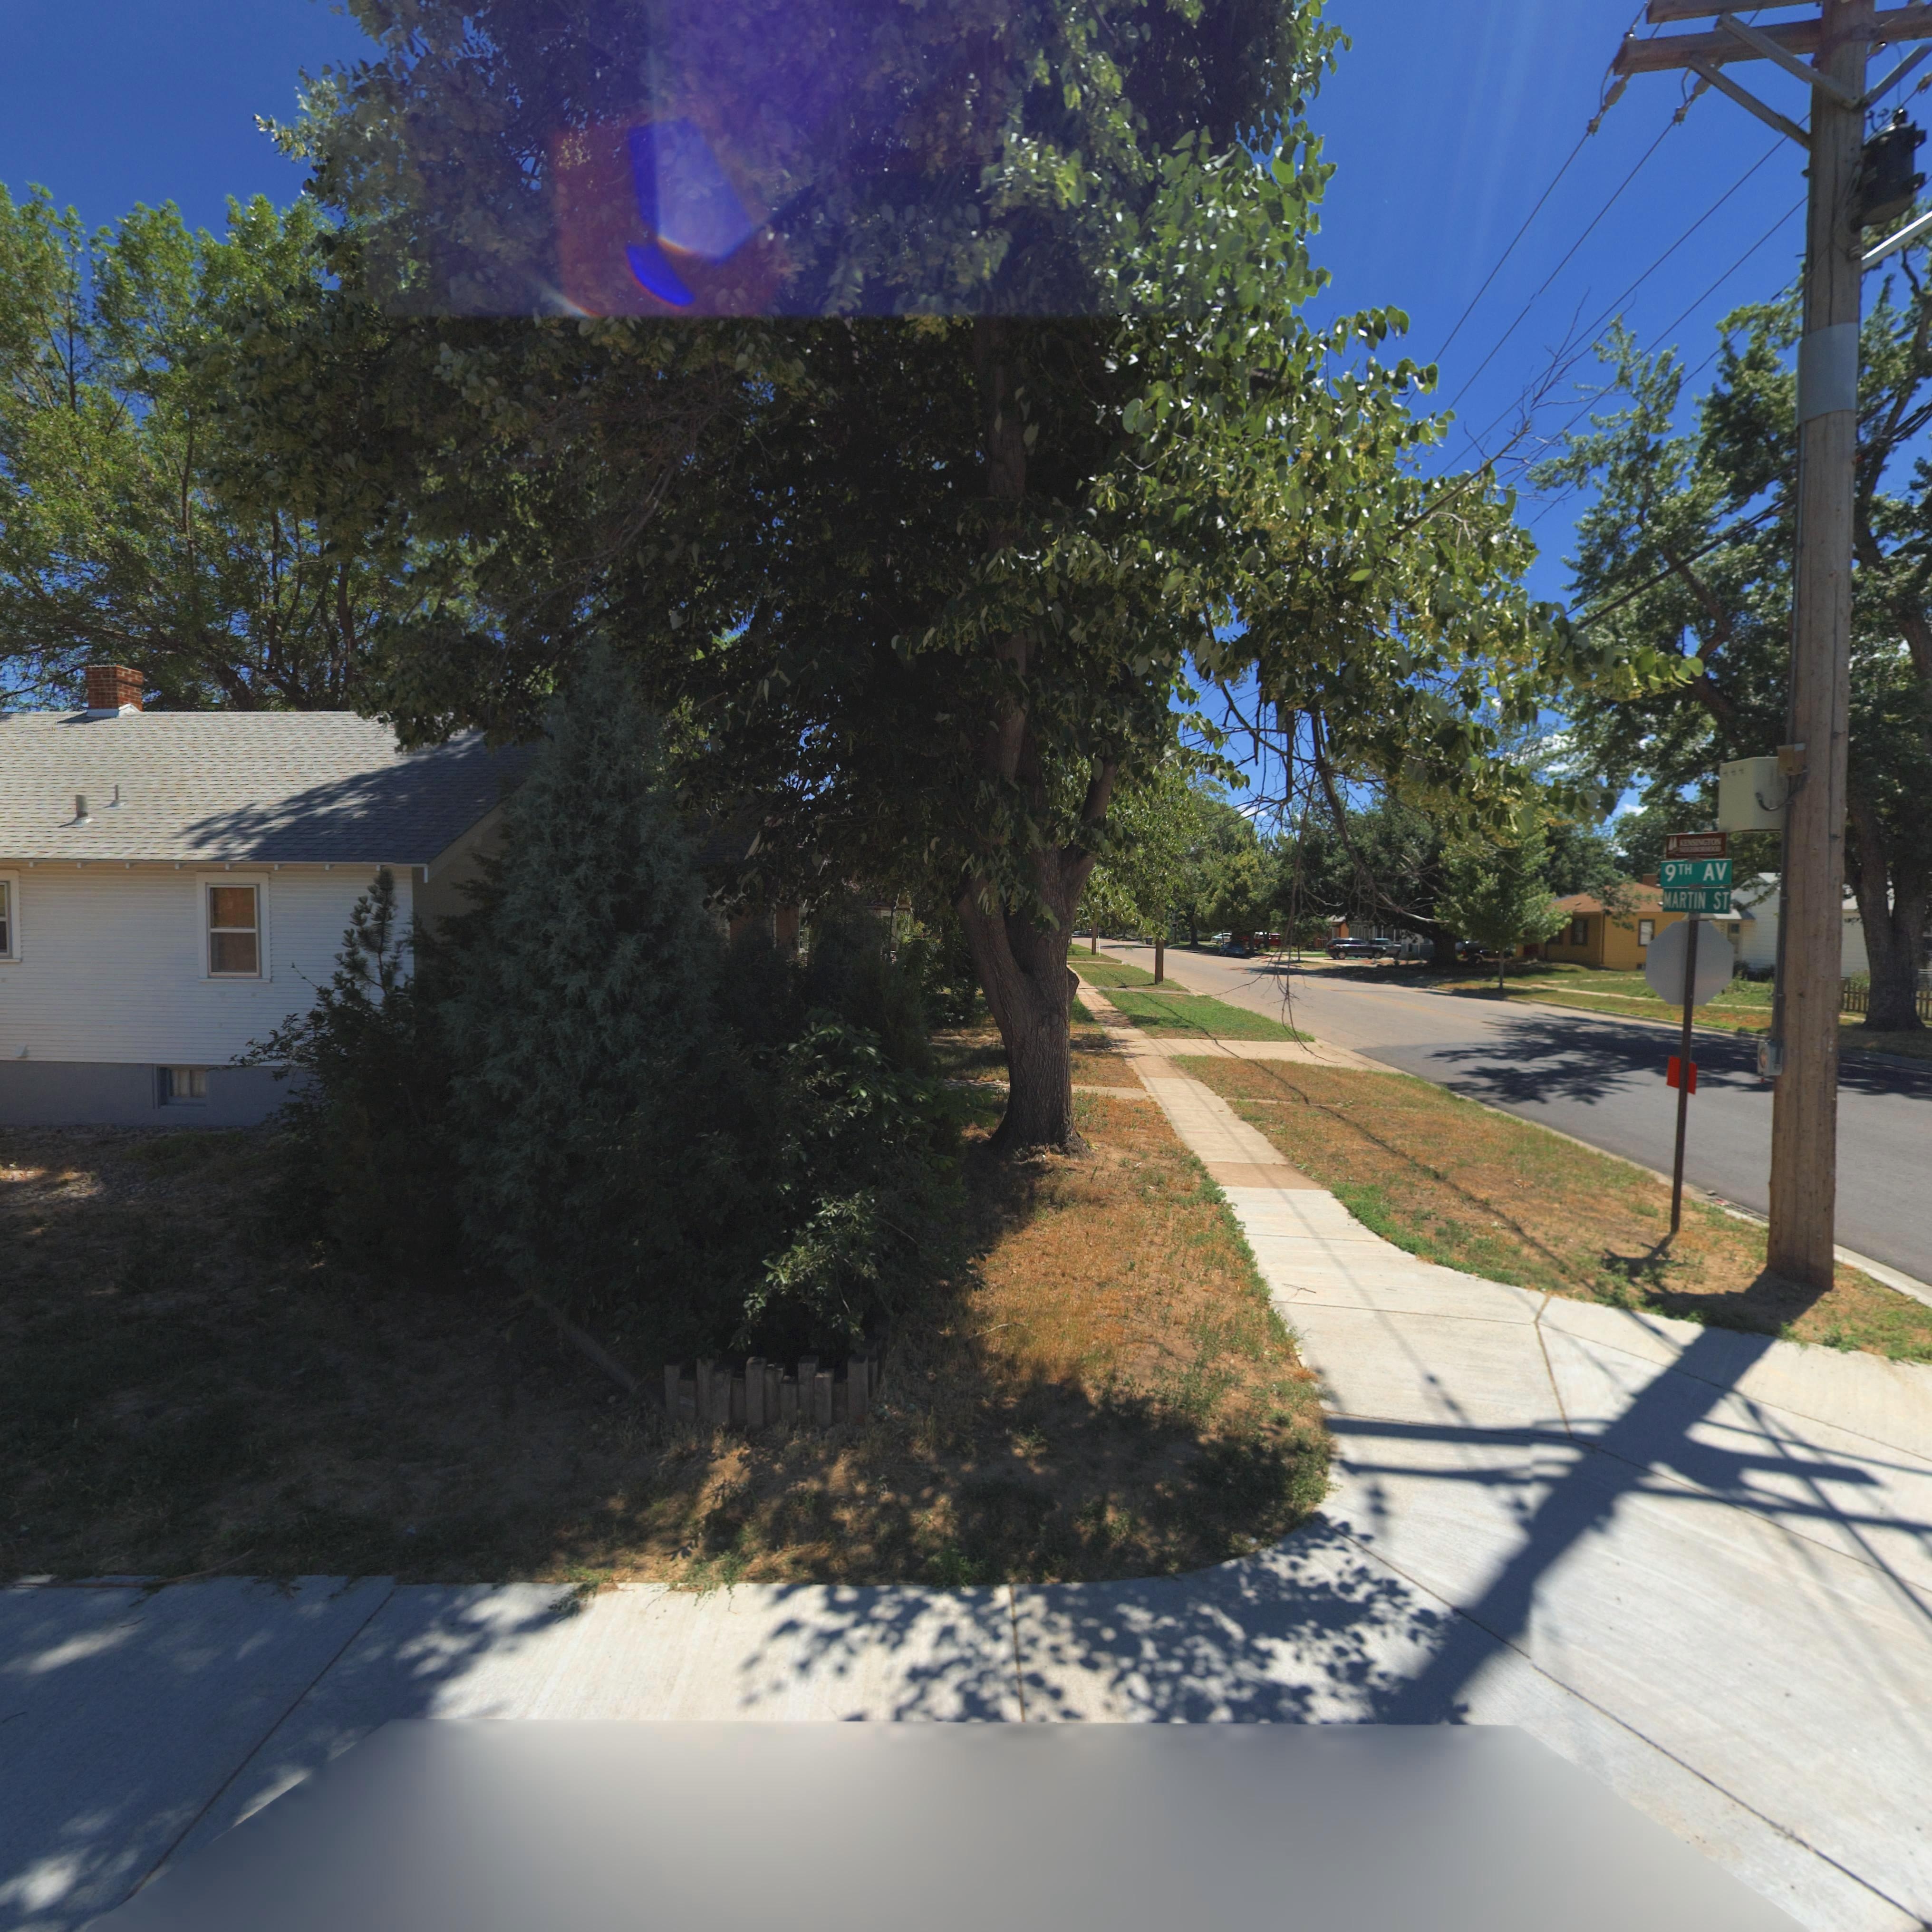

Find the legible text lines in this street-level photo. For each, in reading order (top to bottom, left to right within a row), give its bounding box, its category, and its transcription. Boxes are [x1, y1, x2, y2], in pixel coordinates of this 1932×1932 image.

[1664, 861, 1728, 882] StreetName: 9TH AV
[1662, 890, 1730, 910] StreetName: MARTIN ST